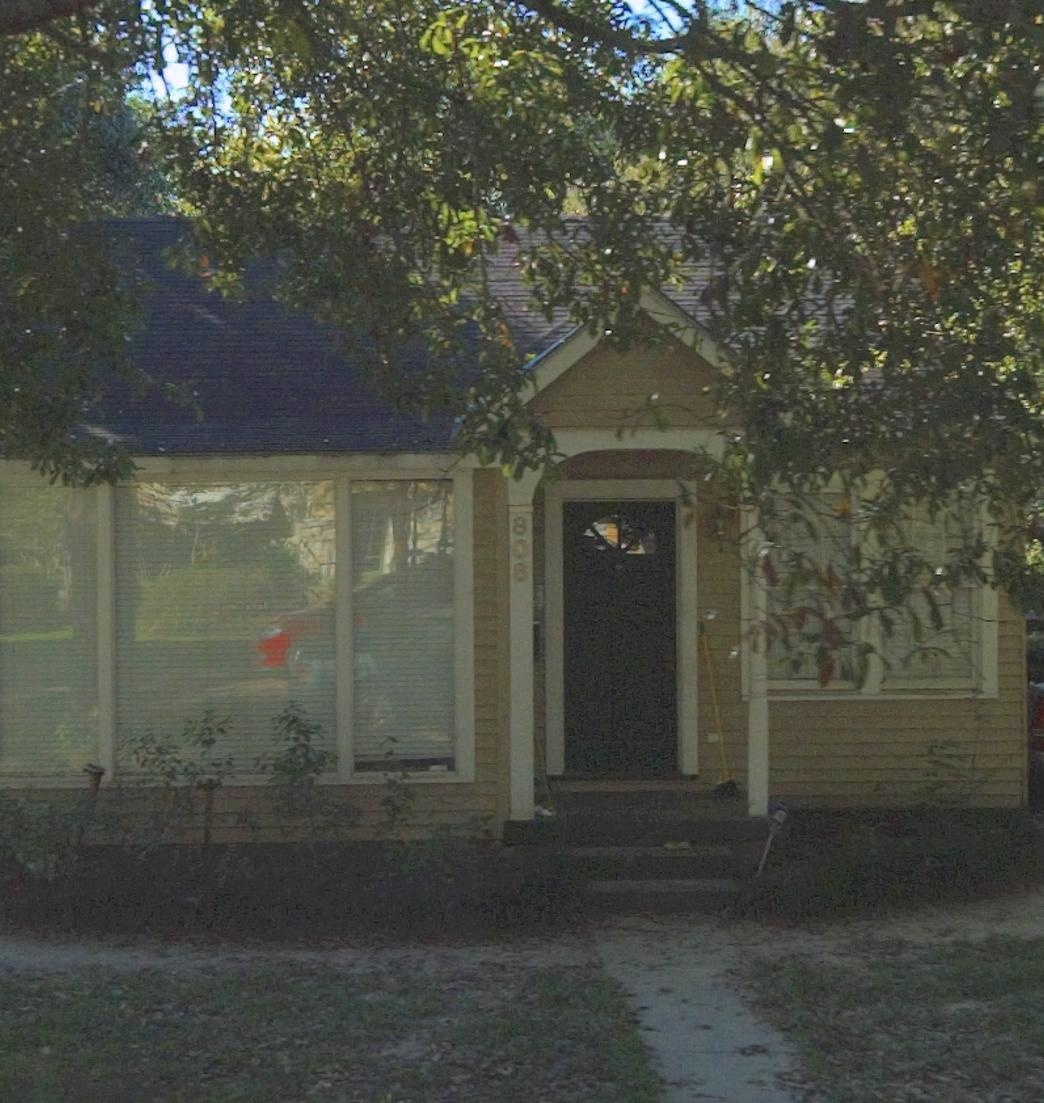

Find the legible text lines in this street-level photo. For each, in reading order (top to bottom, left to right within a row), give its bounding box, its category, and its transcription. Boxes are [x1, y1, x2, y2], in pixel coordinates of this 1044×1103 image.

[511, 512, 531, 585] StreetNumber: 808